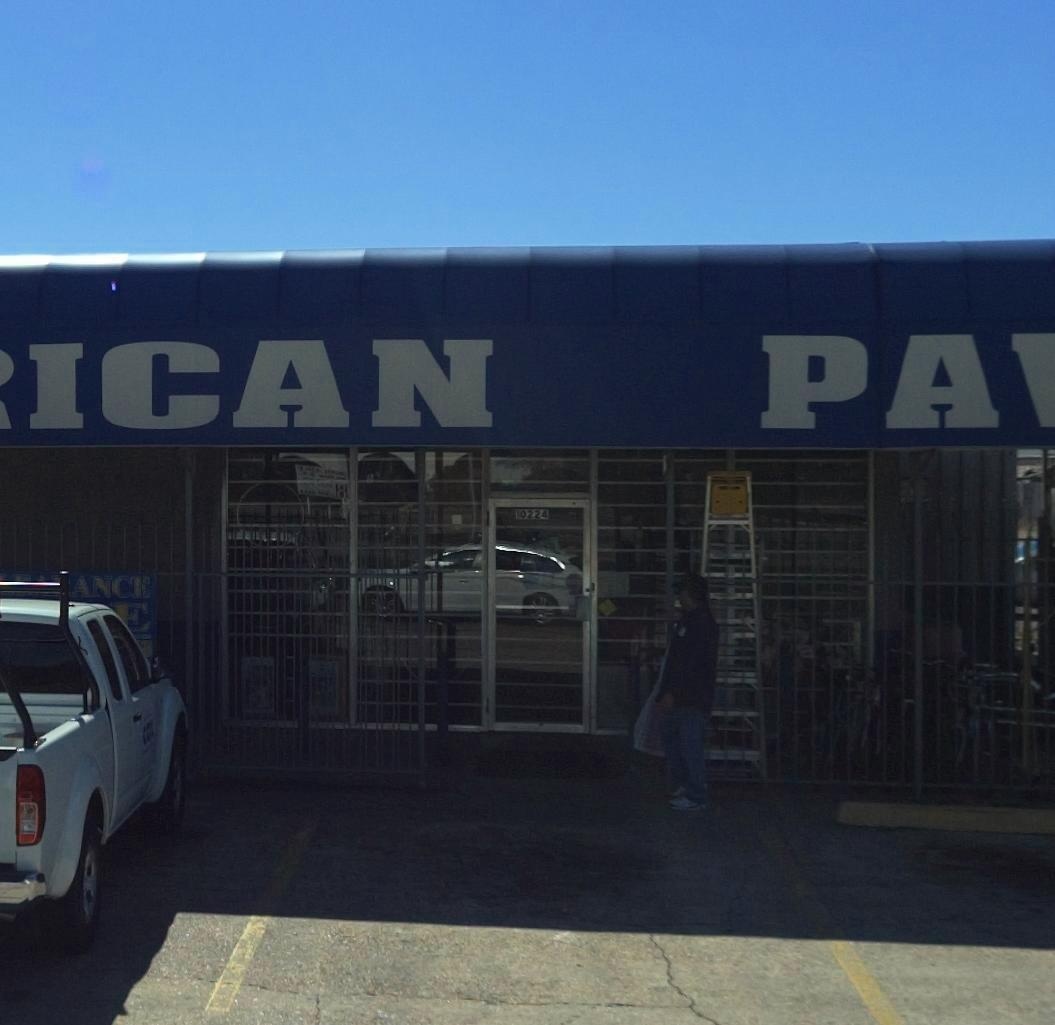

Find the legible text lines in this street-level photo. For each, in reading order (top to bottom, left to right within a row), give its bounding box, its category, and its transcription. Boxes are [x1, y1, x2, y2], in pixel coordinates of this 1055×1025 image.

[24, 336, 499, 434] BusinessName: ICAN
[755, 329, 1005, 434] BusinessName: PA
[515, 508, 549, 520] StreetNumber: 10224
[68, 573, 154, 600] None: ANCE